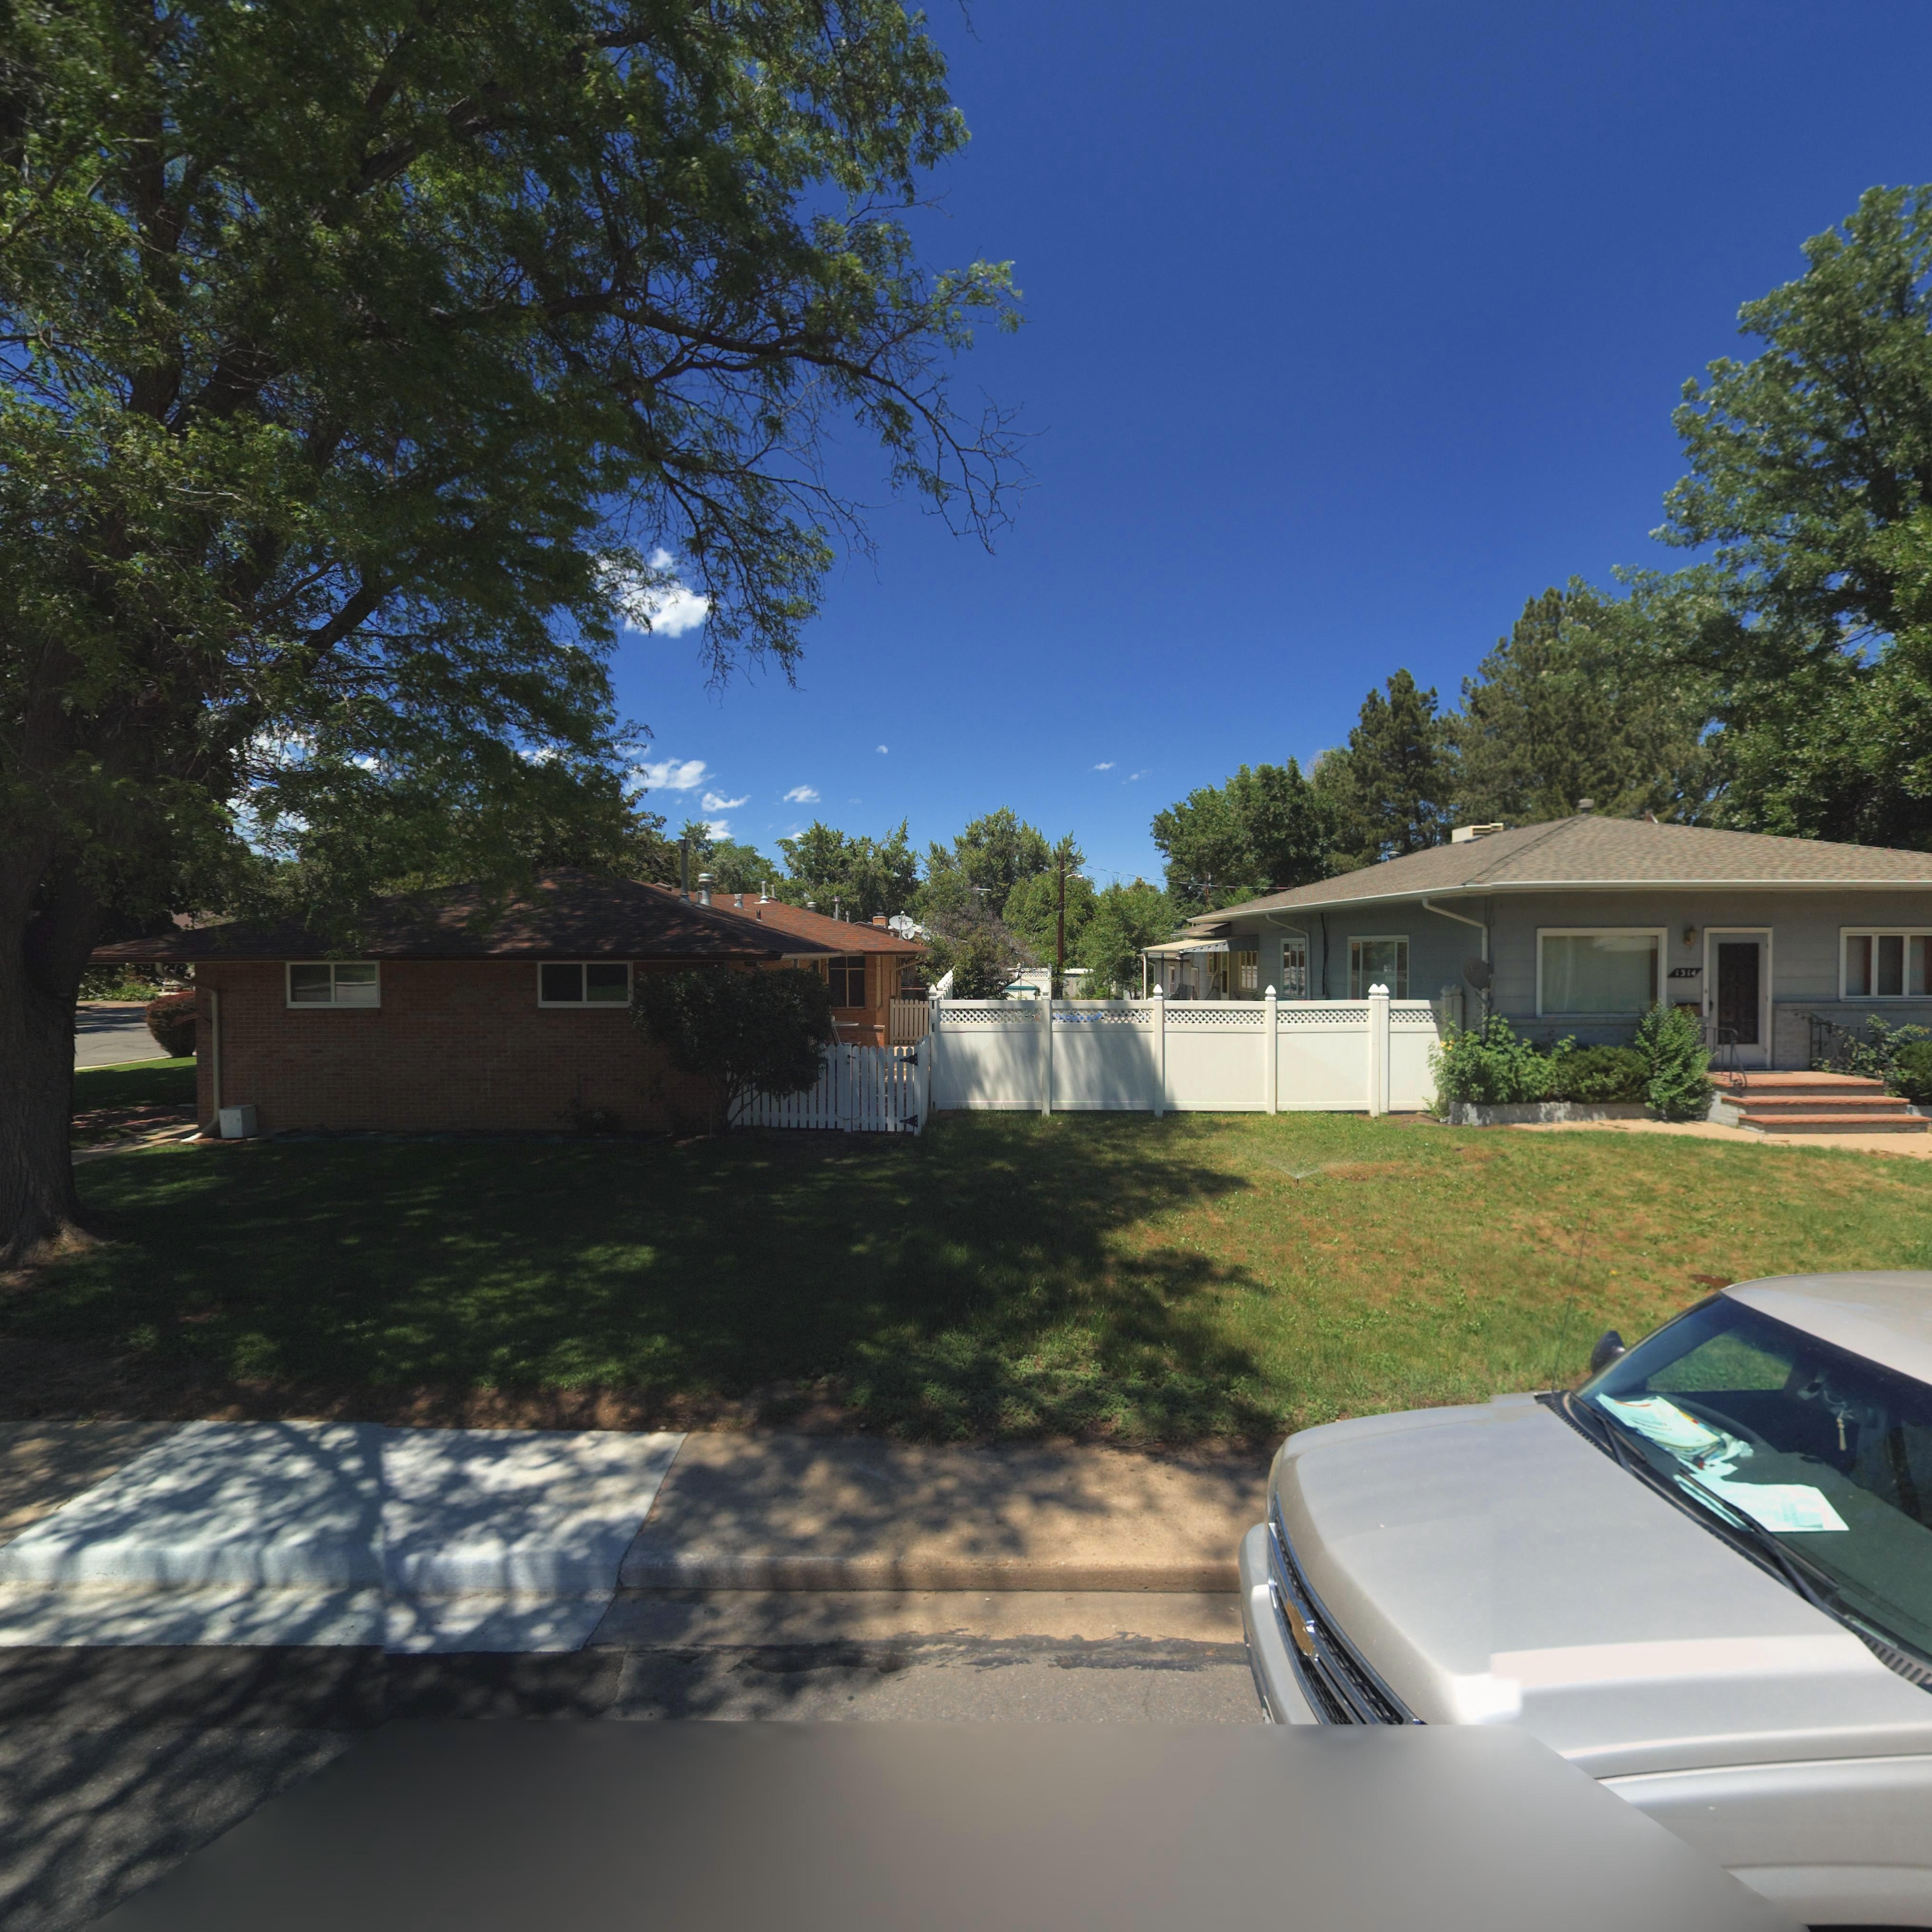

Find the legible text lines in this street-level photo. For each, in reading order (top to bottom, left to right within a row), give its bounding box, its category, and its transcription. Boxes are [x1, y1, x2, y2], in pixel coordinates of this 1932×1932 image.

[1674, 968, 1696, 977] StreetNumber: 1314